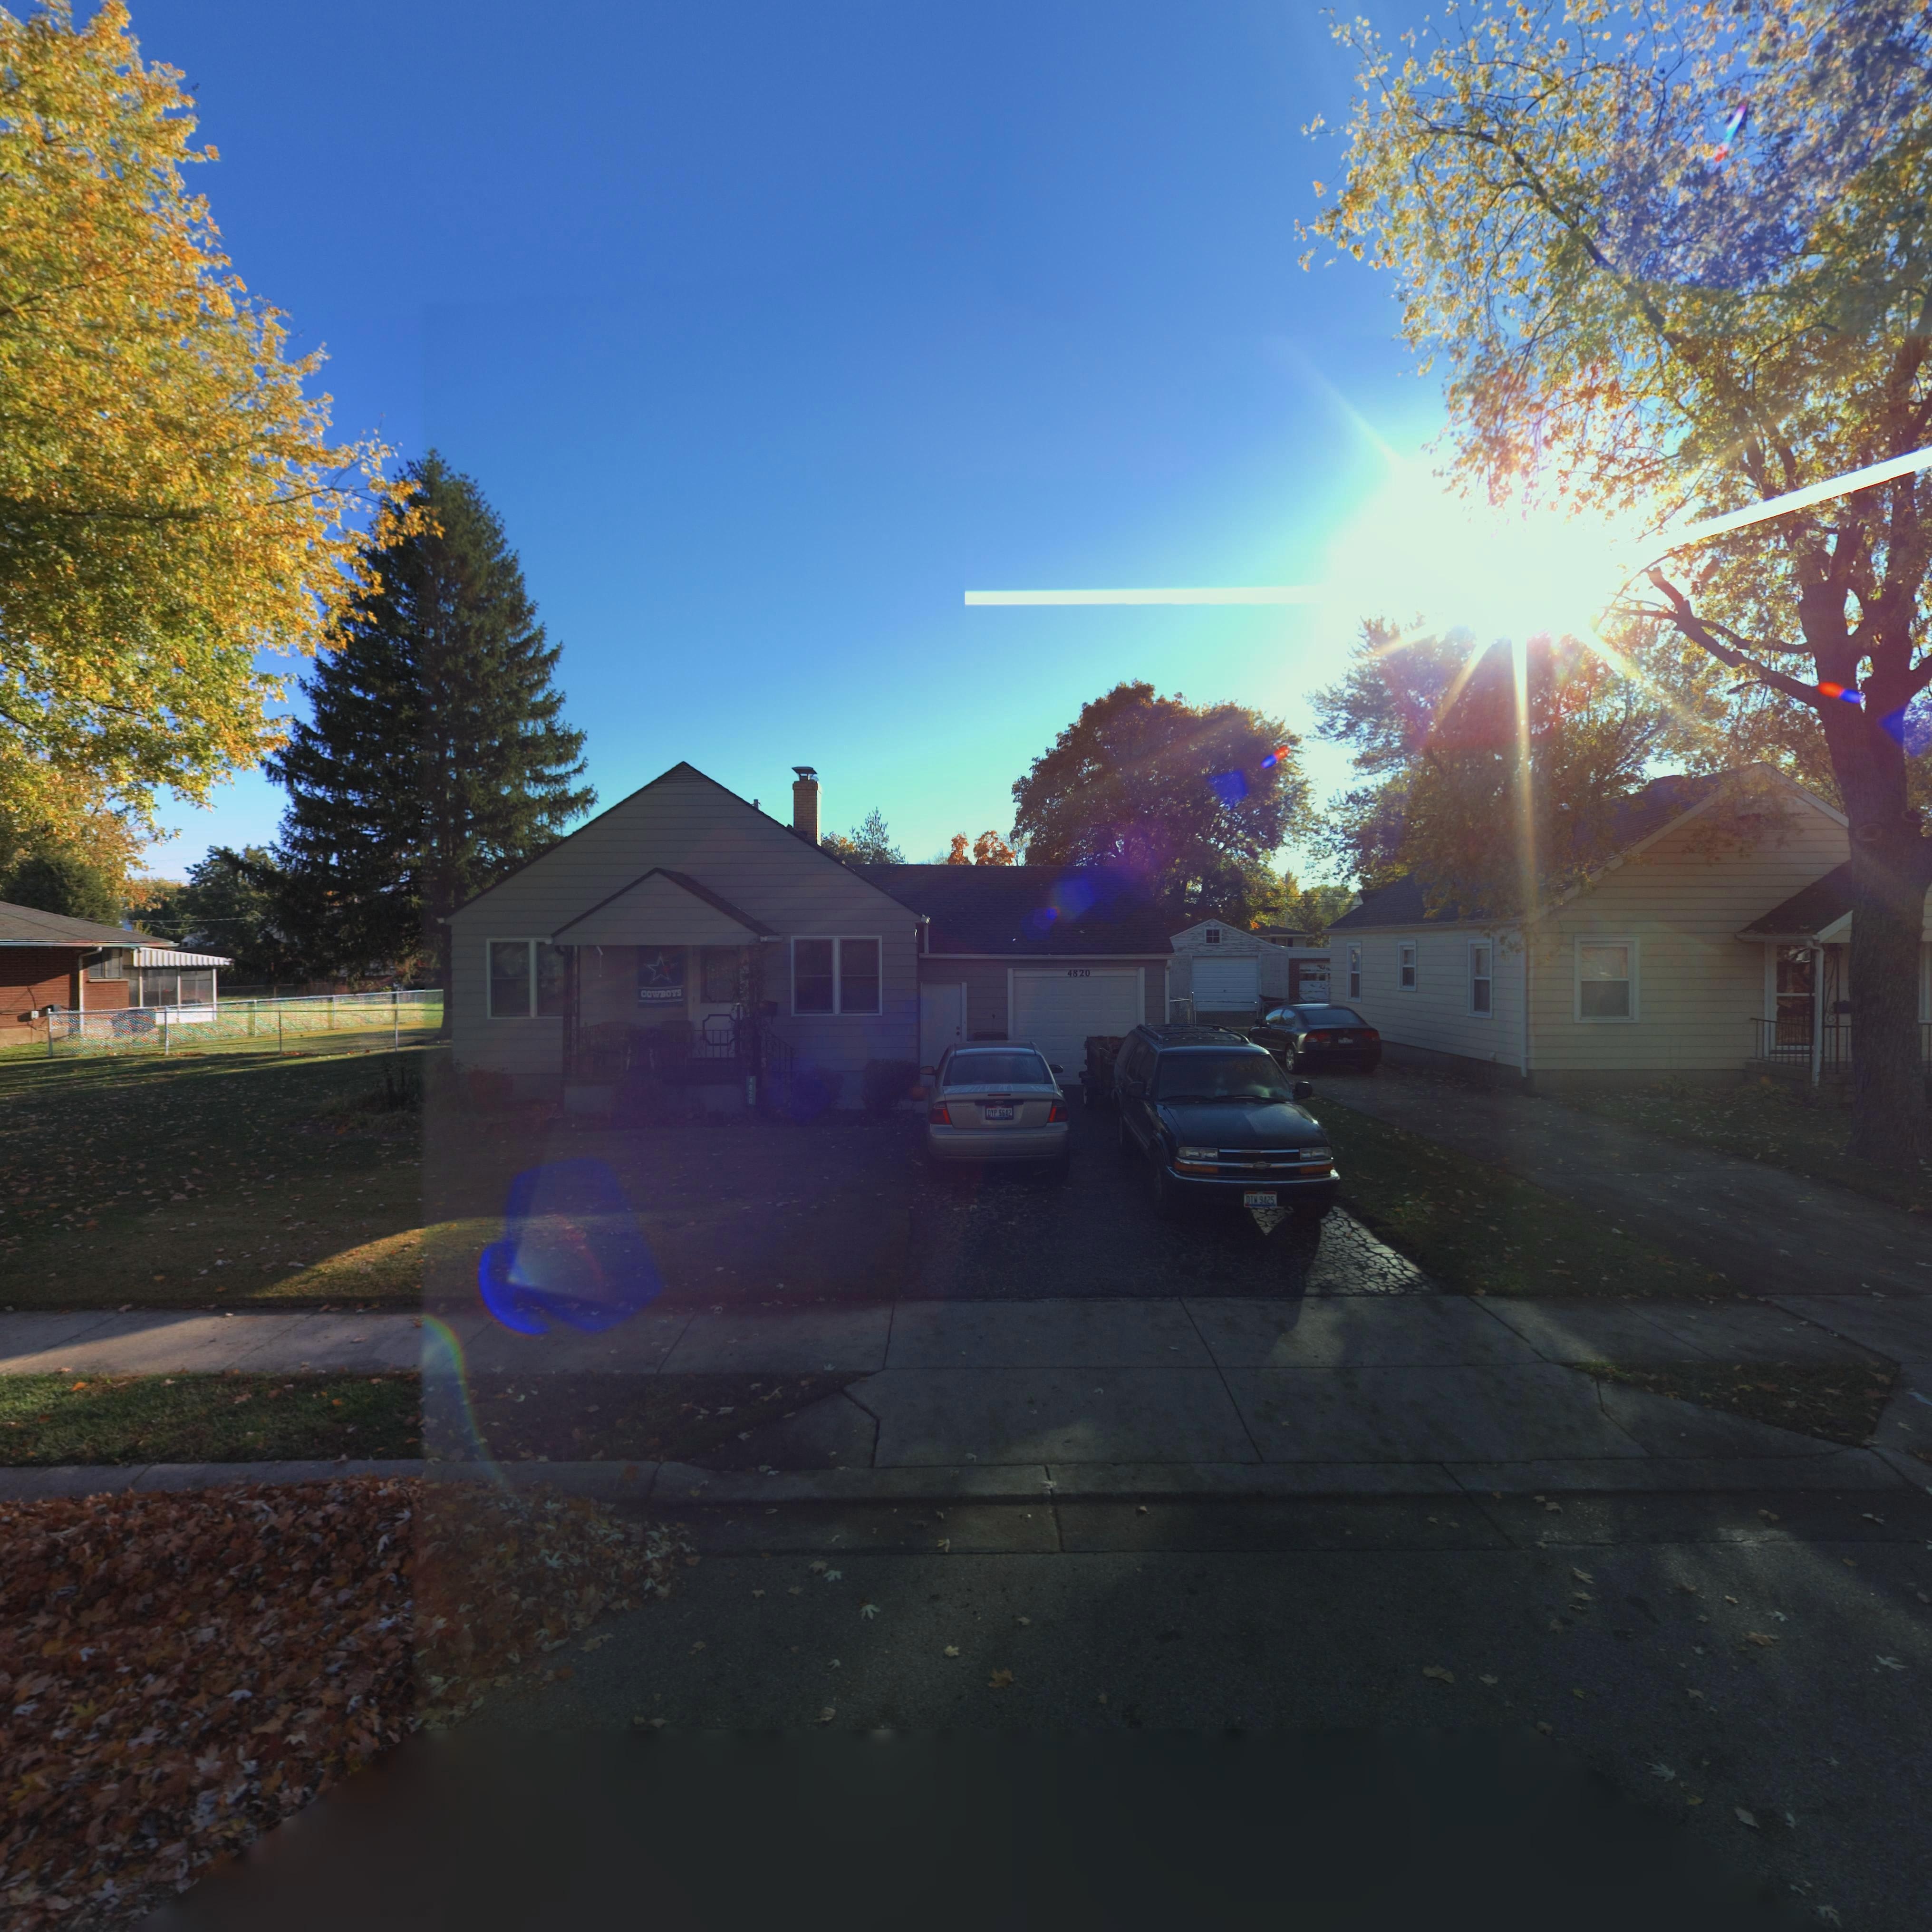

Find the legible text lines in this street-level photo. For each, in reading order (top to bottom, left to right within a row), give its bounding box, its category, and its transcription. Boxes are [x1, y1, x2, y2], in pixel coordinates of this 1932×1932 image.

[1066, 969, 1091, 977] StreetNumber: 4820
[748, 1076, 753, 1105] StreetNumber: 4820